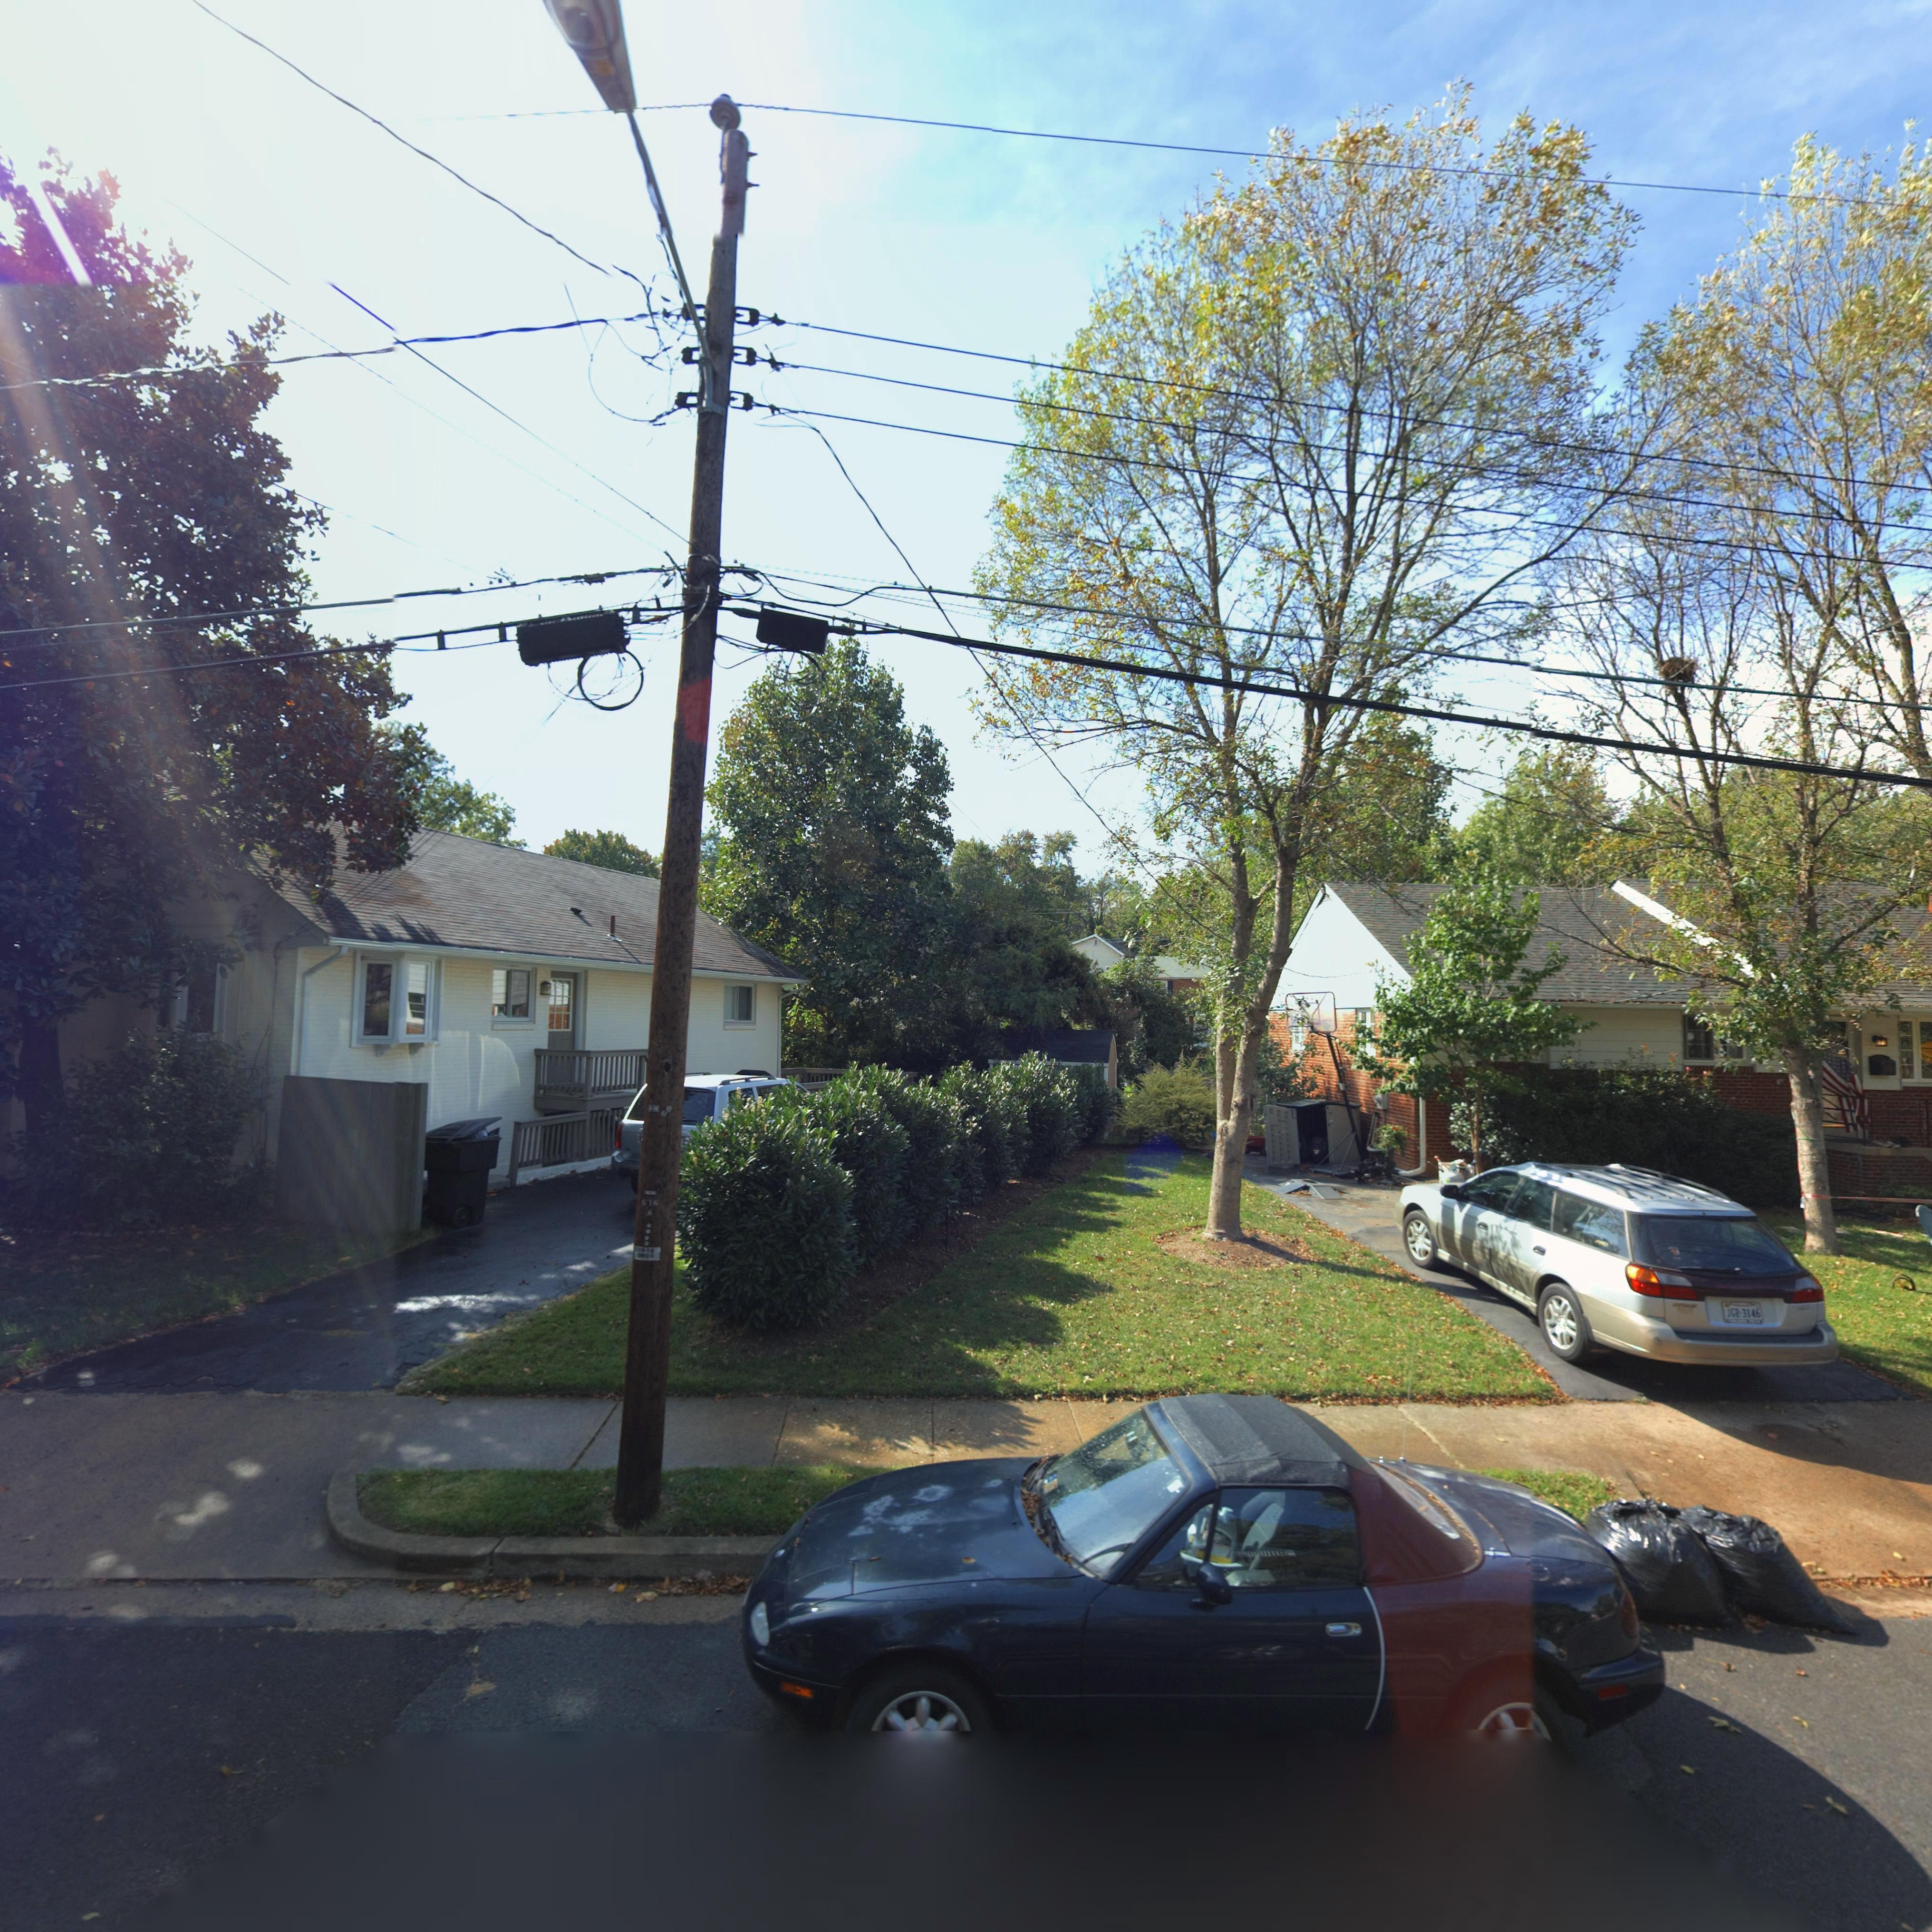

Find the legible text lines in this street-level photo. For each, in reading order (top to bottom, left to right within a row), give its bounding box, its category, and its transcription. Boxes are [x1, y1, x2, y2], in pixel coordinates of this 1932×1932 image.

[1726, 1307, 1761, 1319] None: JGR-3146